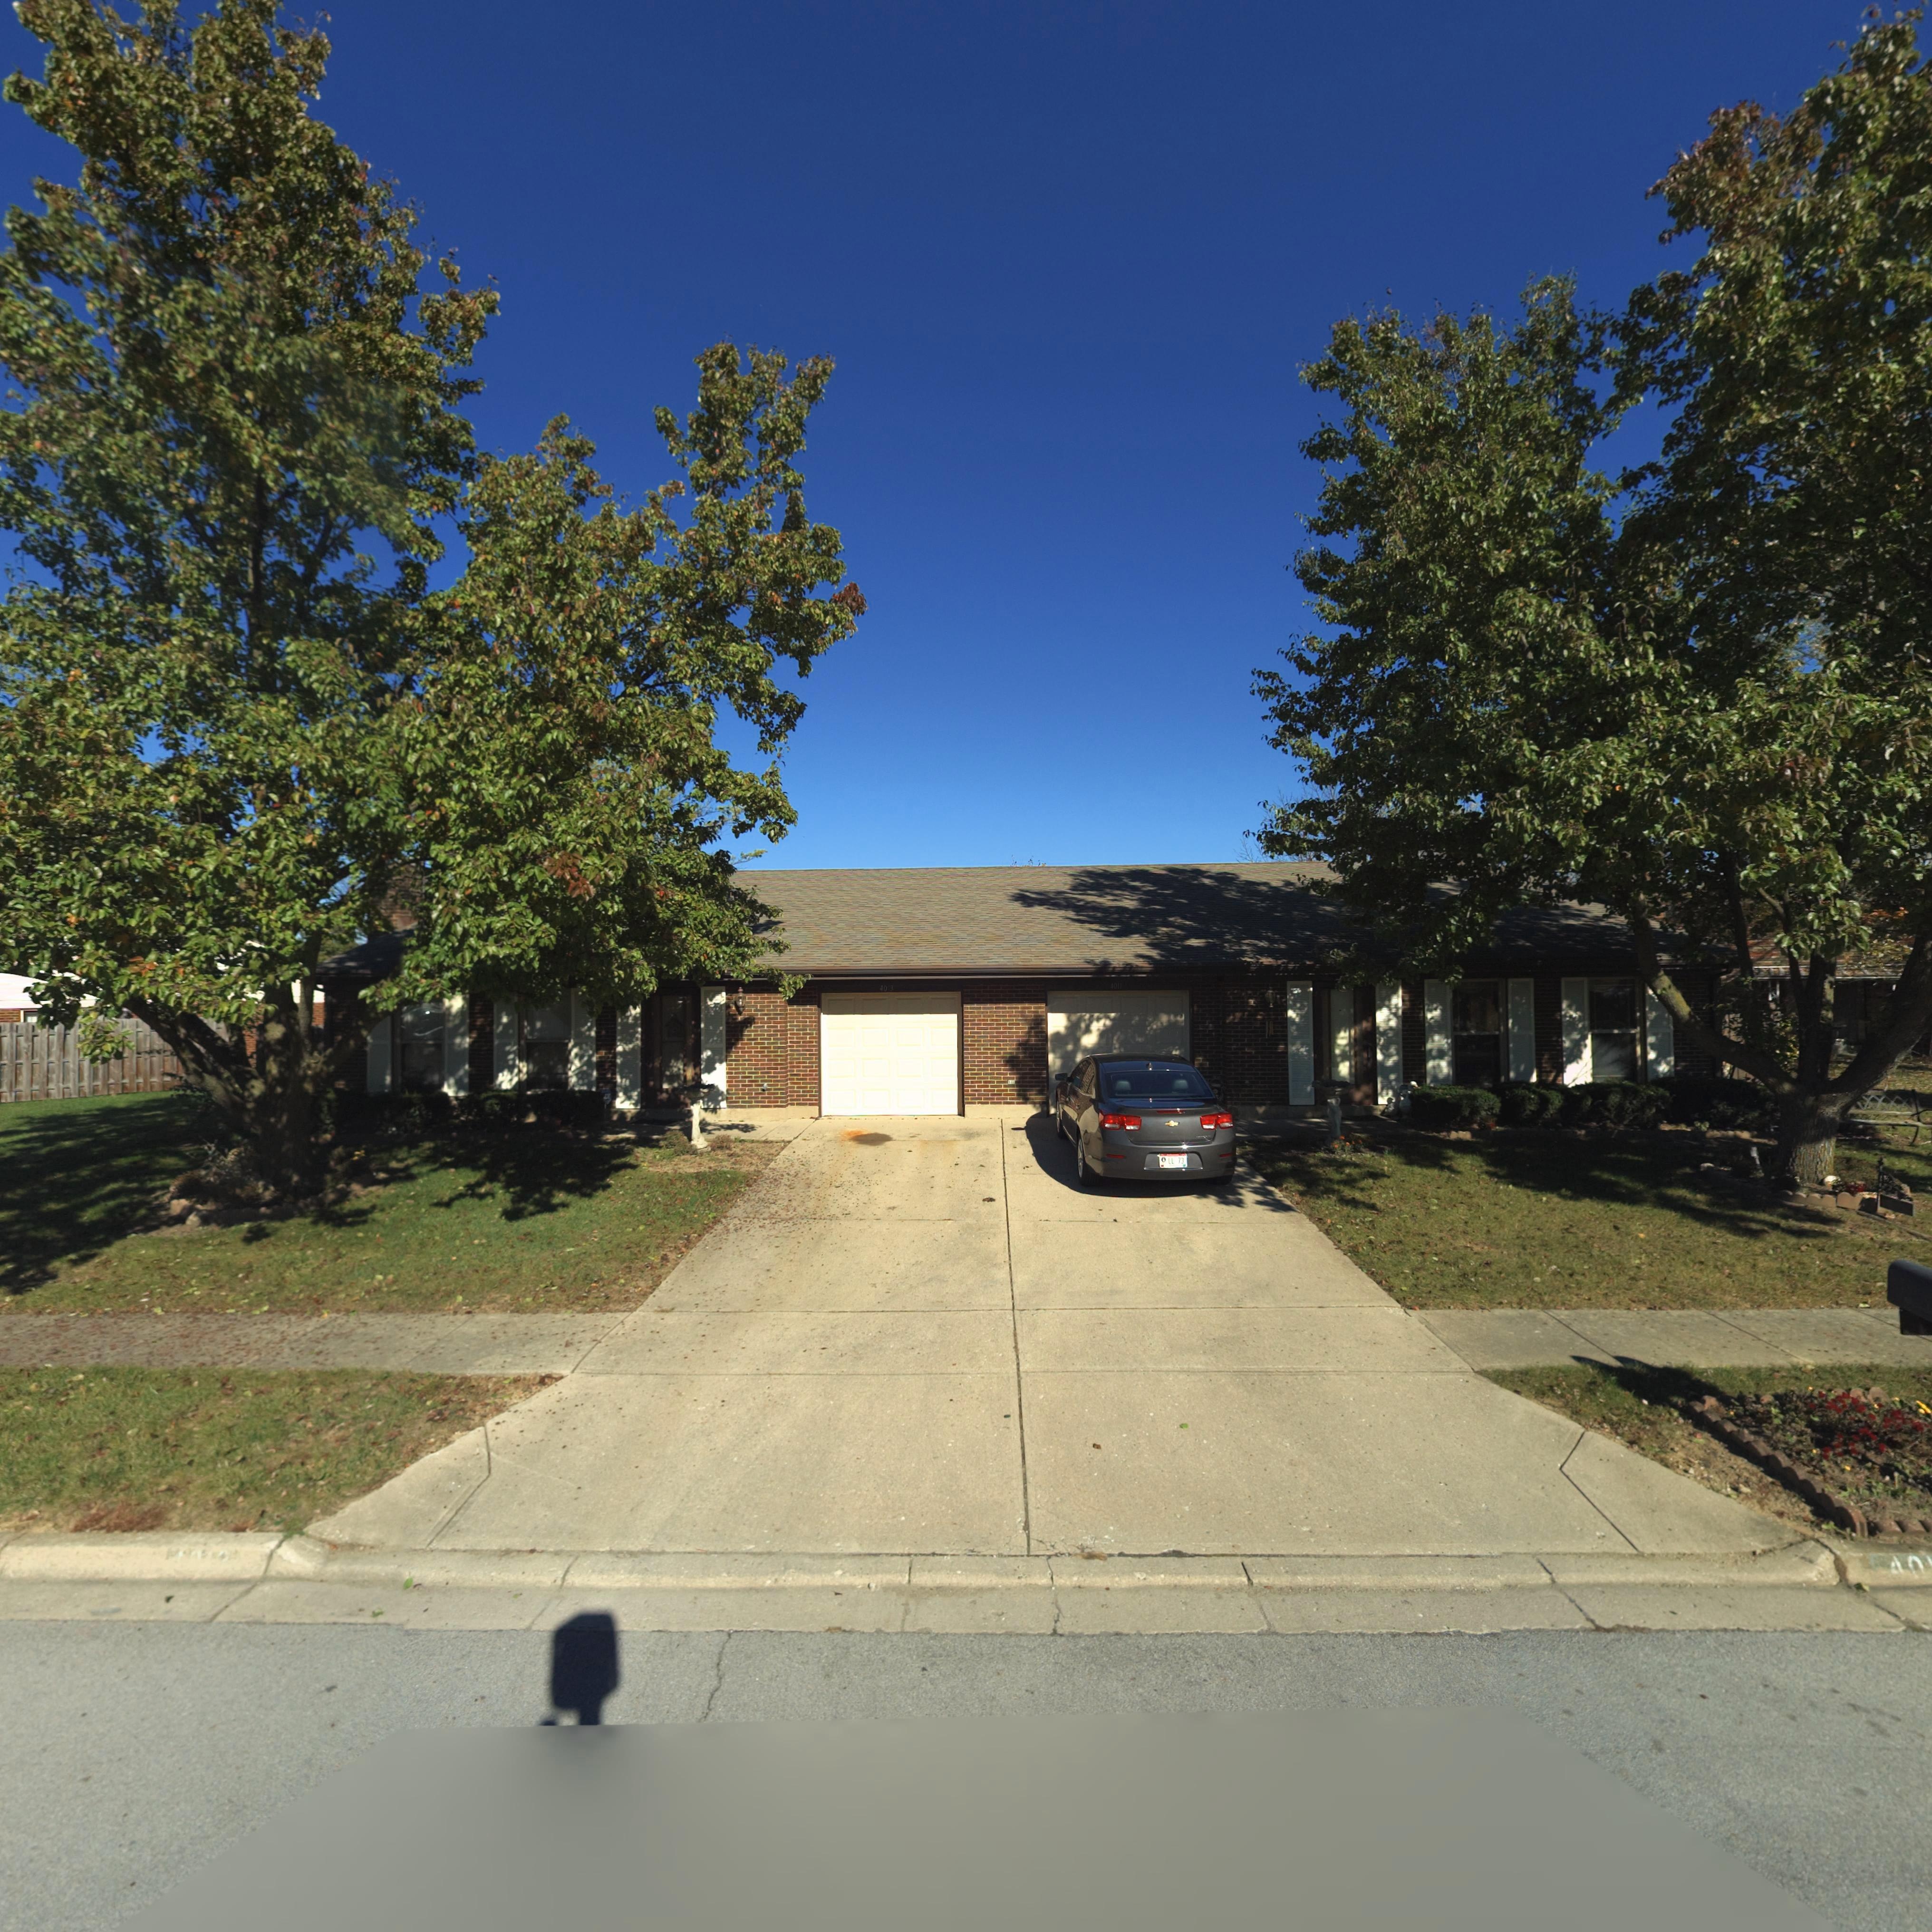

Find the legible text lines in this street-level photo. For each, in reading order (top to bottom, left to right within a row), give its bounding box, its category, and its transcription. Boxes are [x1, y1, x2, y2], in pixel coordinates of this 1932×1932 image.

[879, 985, 894, 992] StreetNumber: 40*3
[1110, 982, 1122, 990] StreetNumber: 4011
[1889, 1555, 1927, 1581] StreetNumber: 40